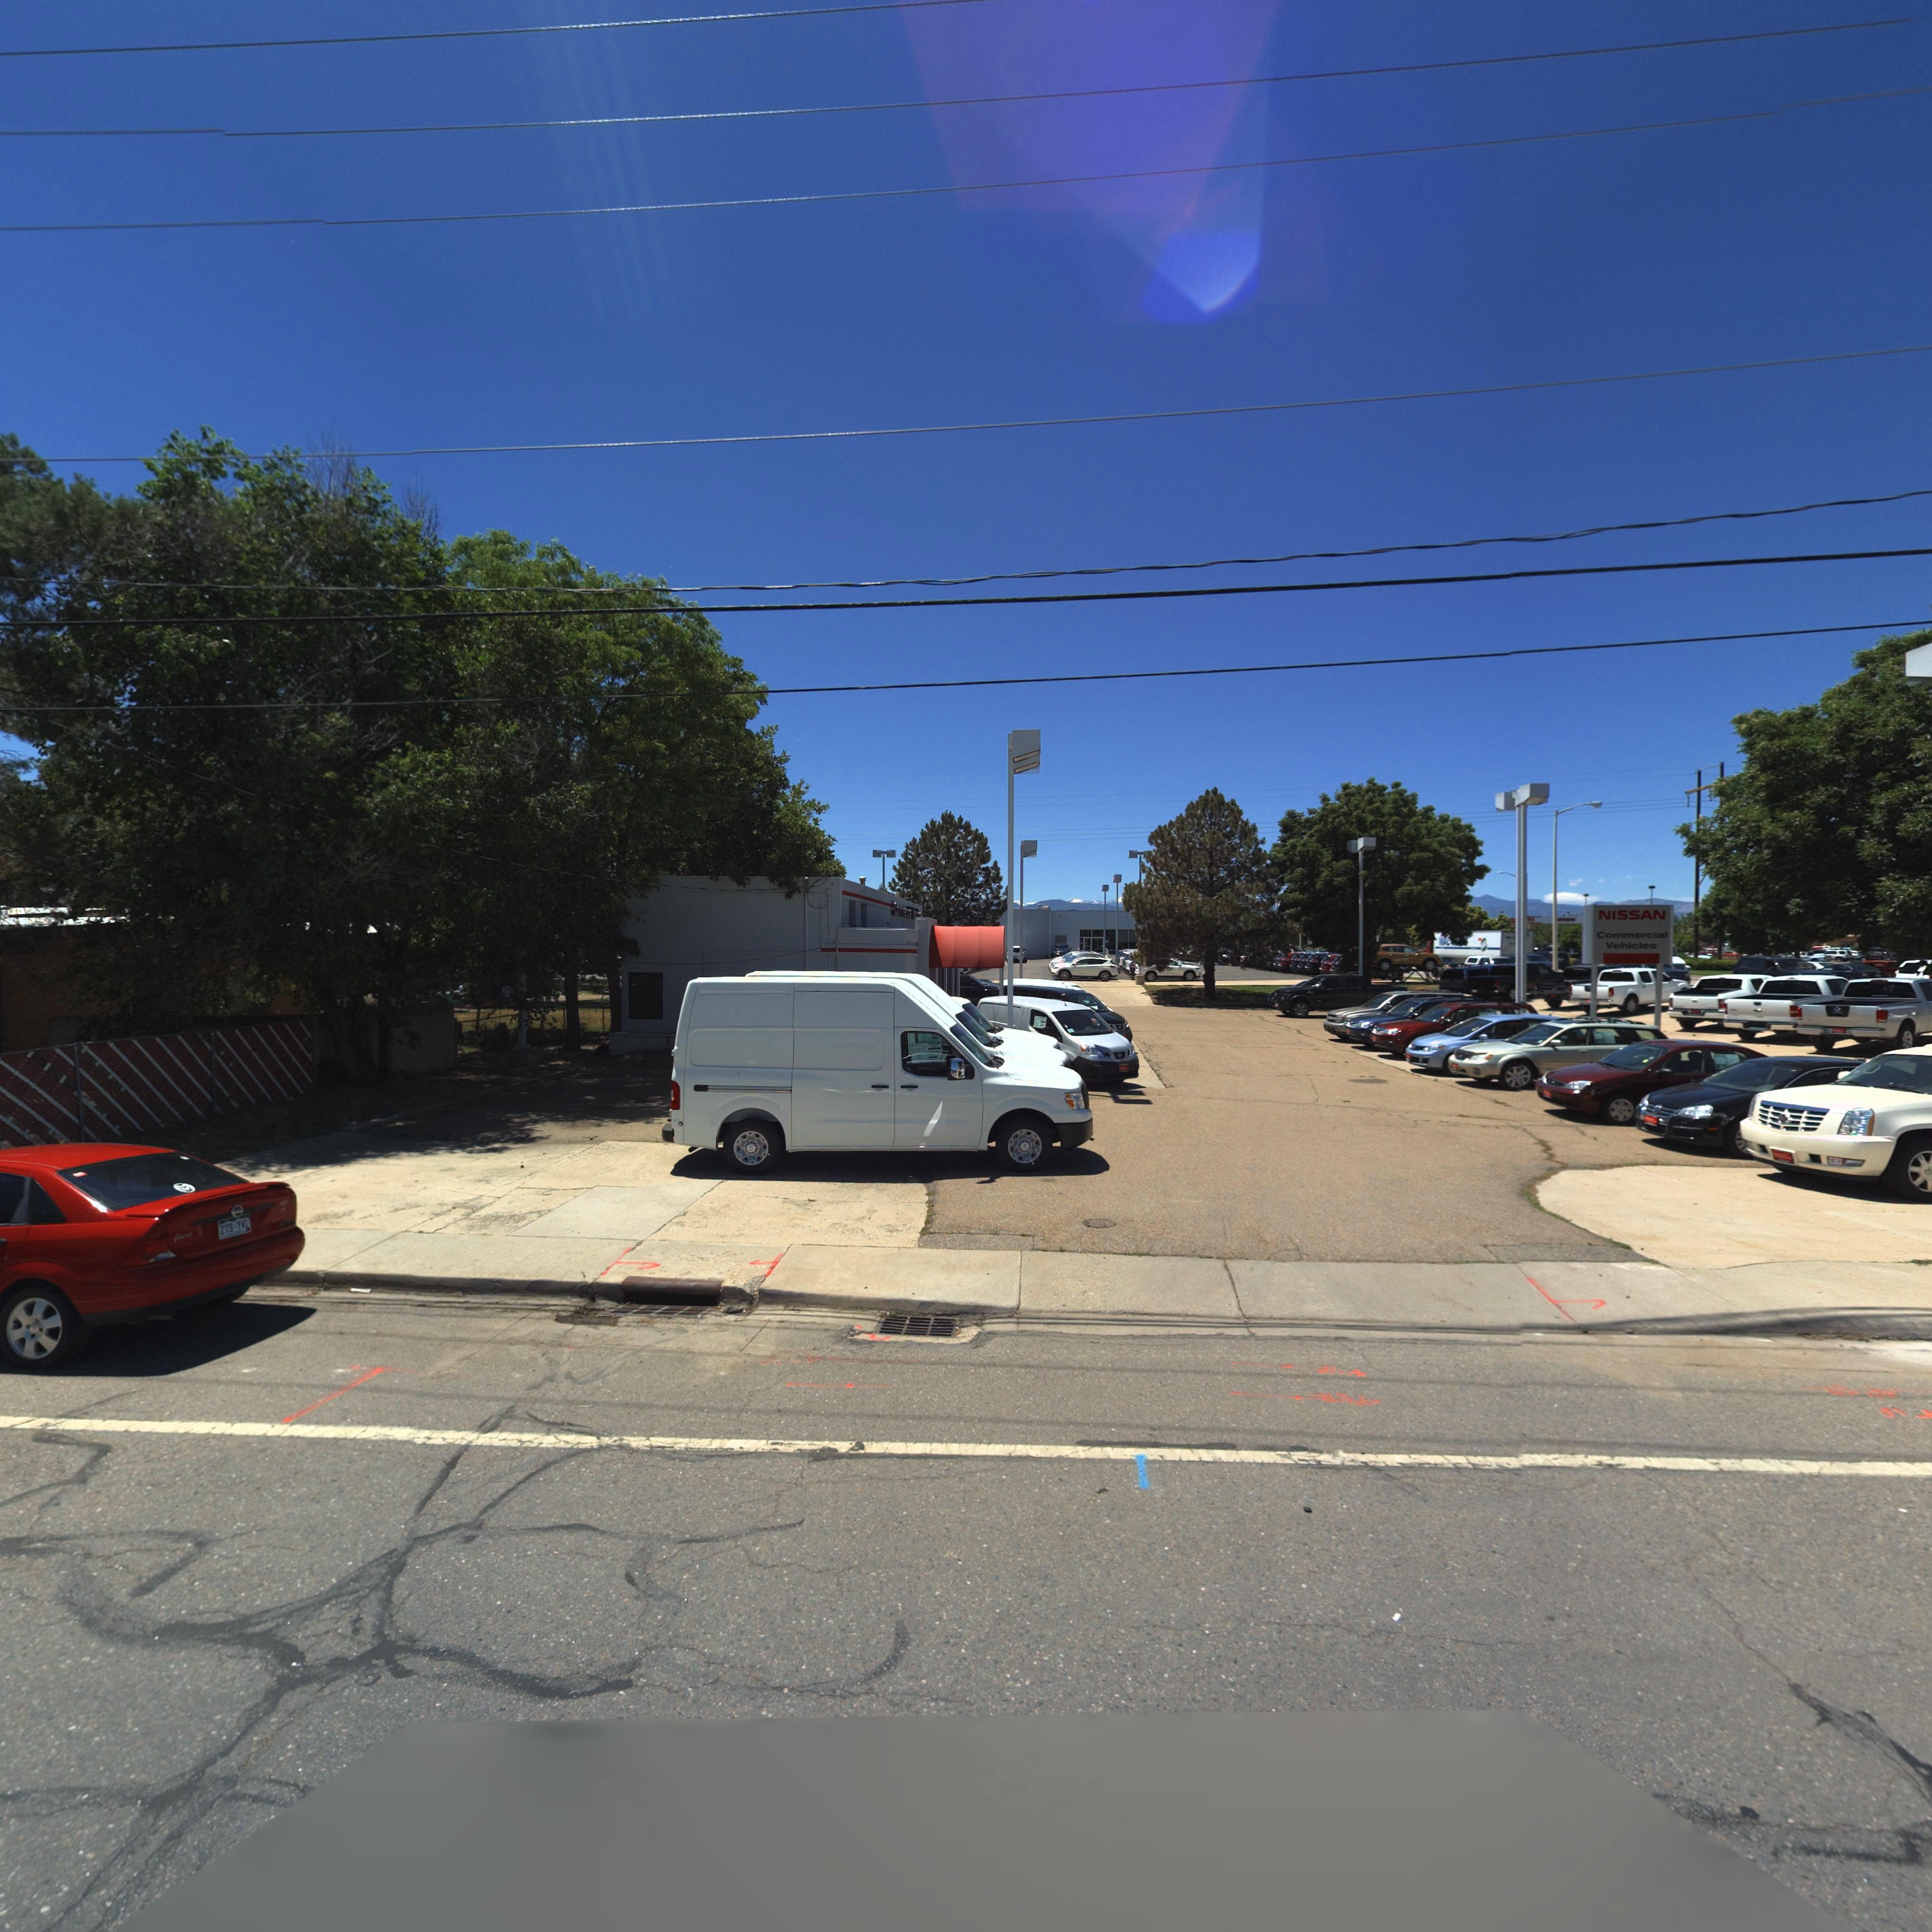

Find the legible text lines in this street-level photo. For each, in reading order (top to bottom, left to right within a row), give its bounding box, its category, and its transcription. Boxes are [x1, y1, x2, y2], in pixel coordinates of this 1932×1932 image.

[1598, 909, 1665, 920] BusinessName: NISSAN